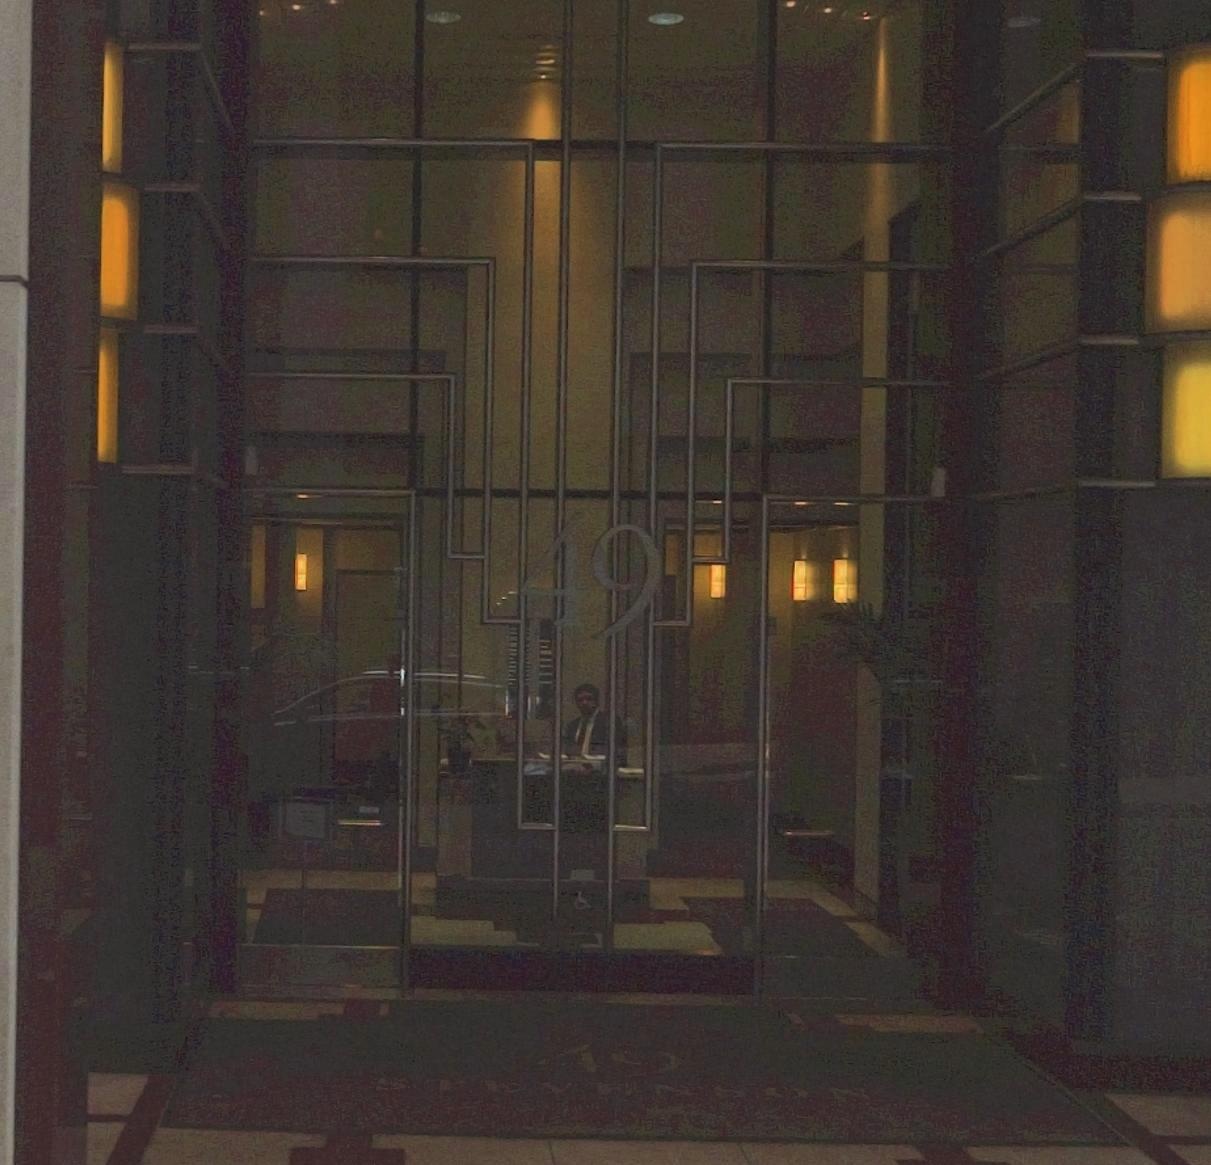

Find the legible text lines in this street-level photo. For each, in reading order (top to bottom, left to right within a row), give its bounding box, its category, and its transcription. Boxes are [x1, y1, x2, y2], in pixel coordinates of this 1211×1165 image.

[516, 508, 665, 645] StreetNumber: 49